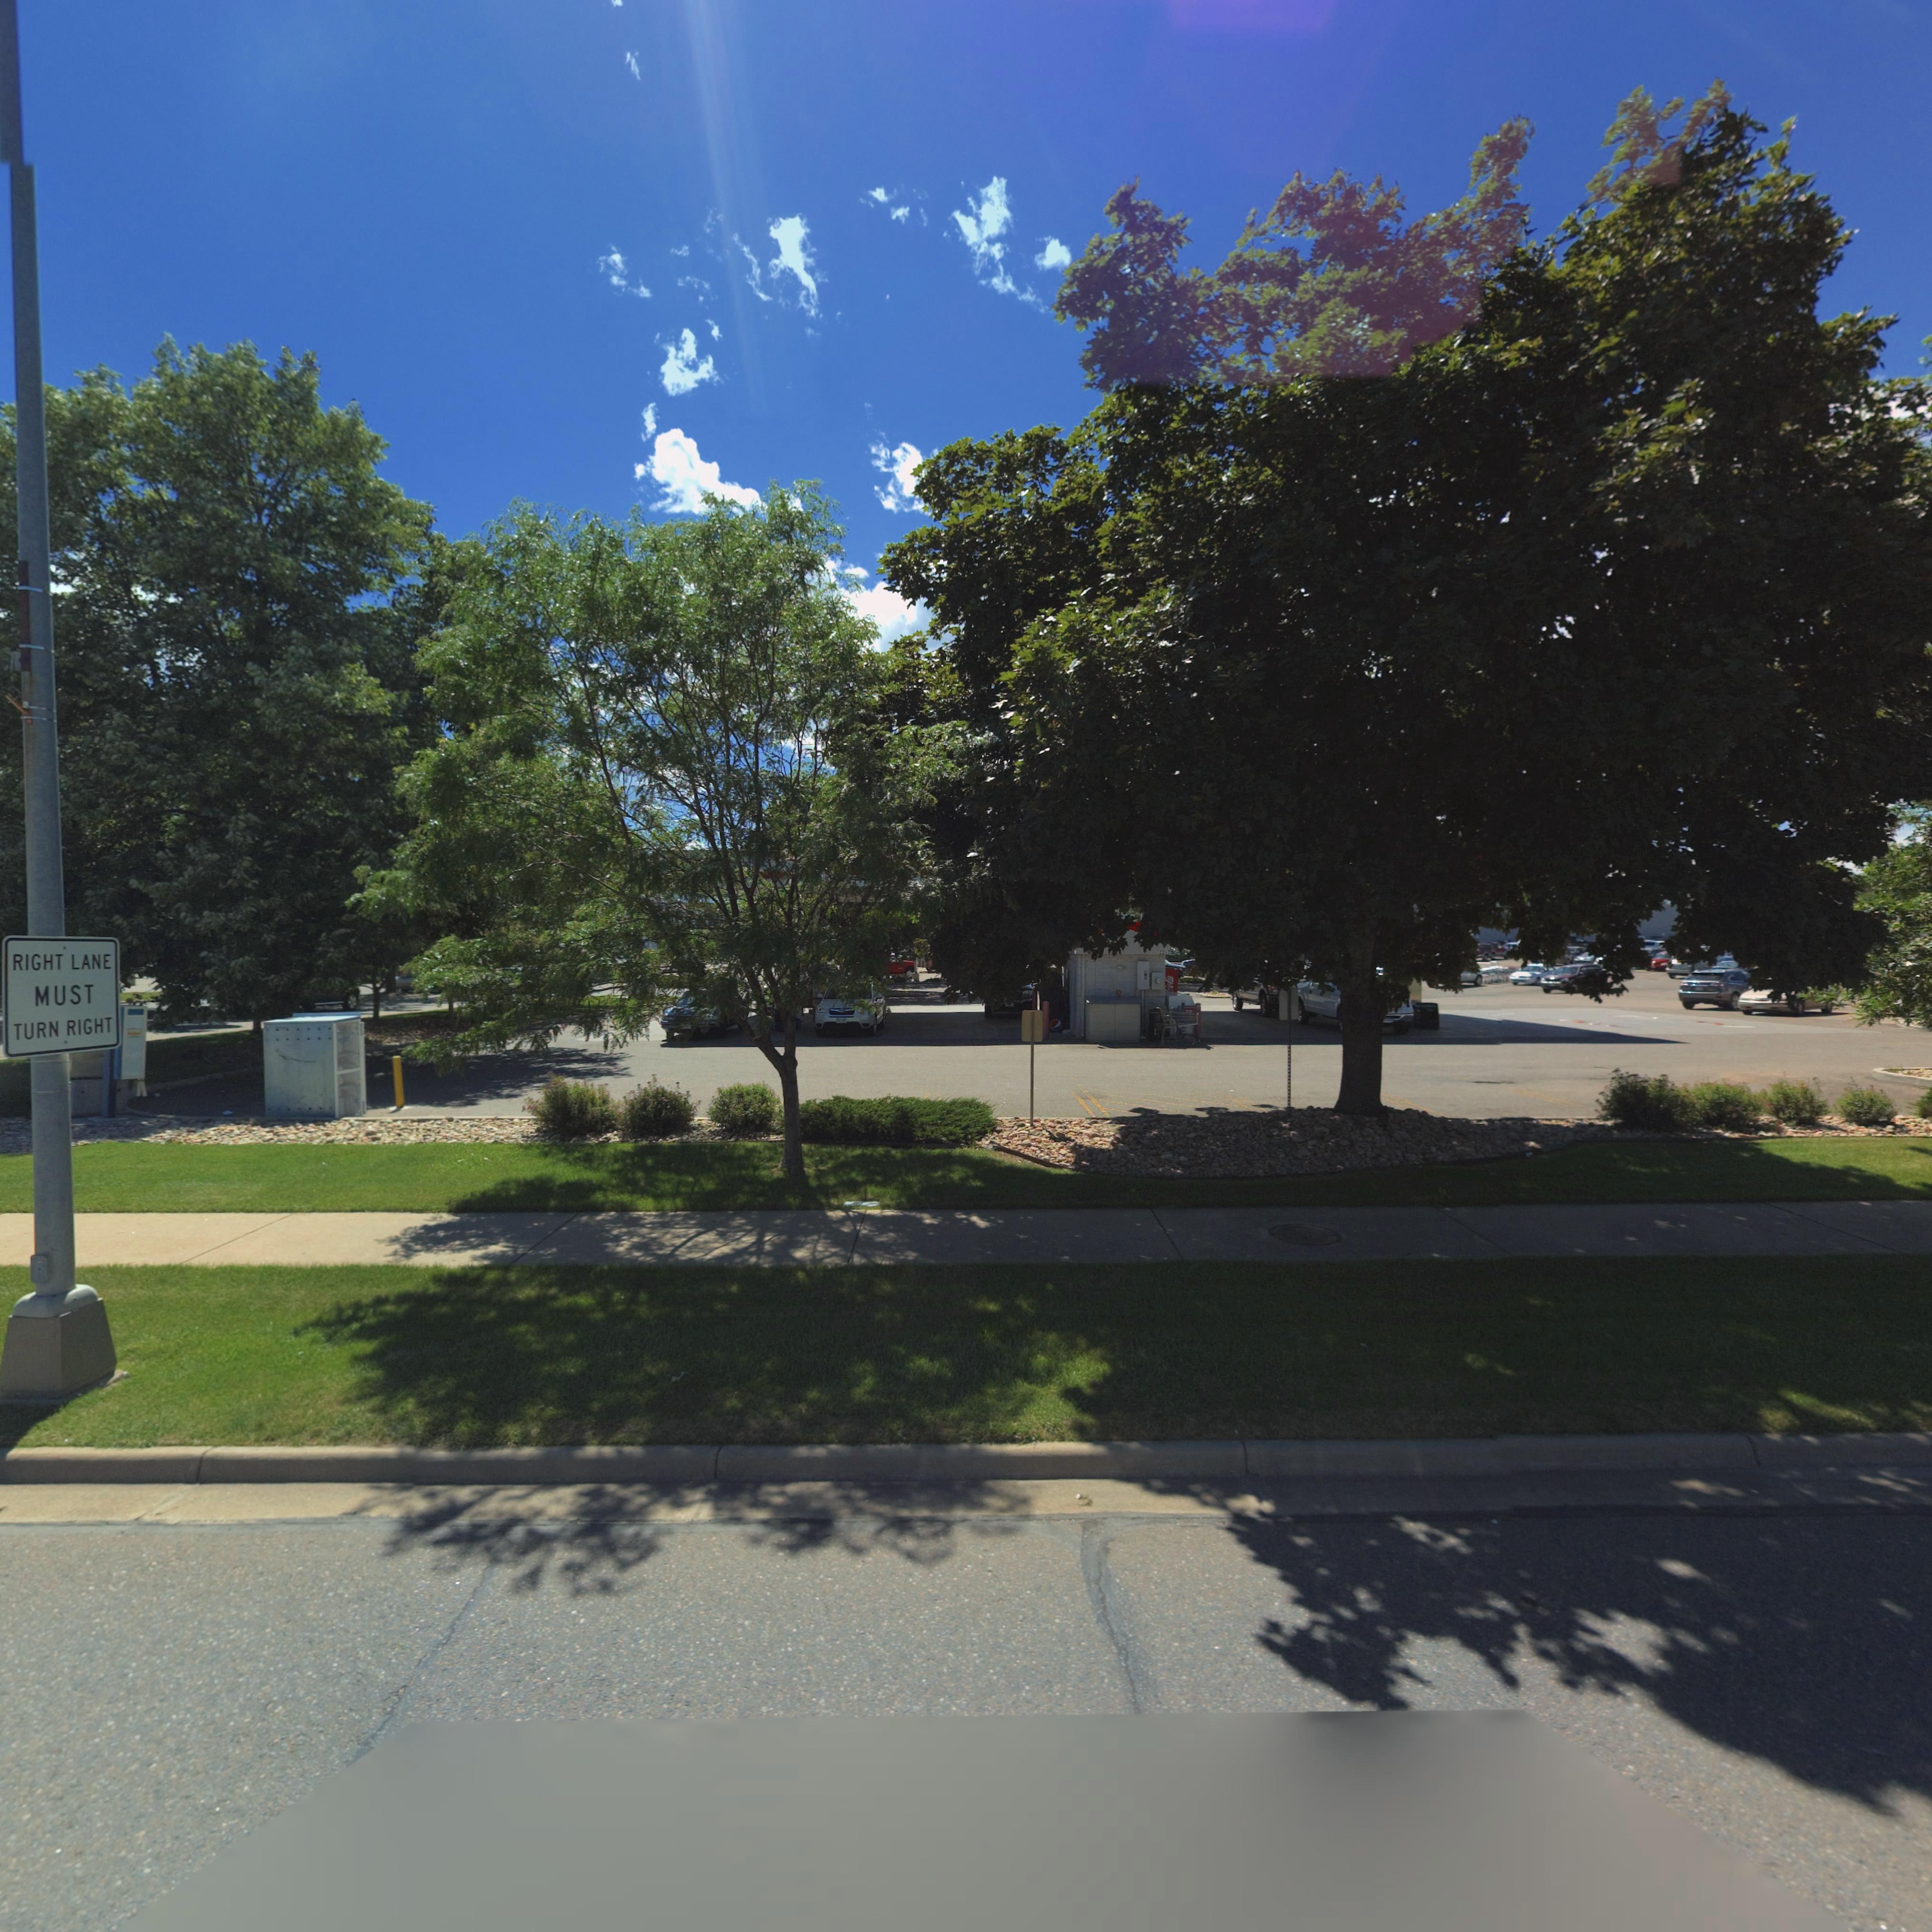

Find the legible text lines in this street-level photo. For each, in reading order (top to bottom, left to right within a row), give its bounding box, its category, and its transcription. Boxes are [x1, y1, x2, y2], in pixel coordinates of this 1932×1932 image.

[1159, 949, 1169, 955] StreetNumber: 2**7